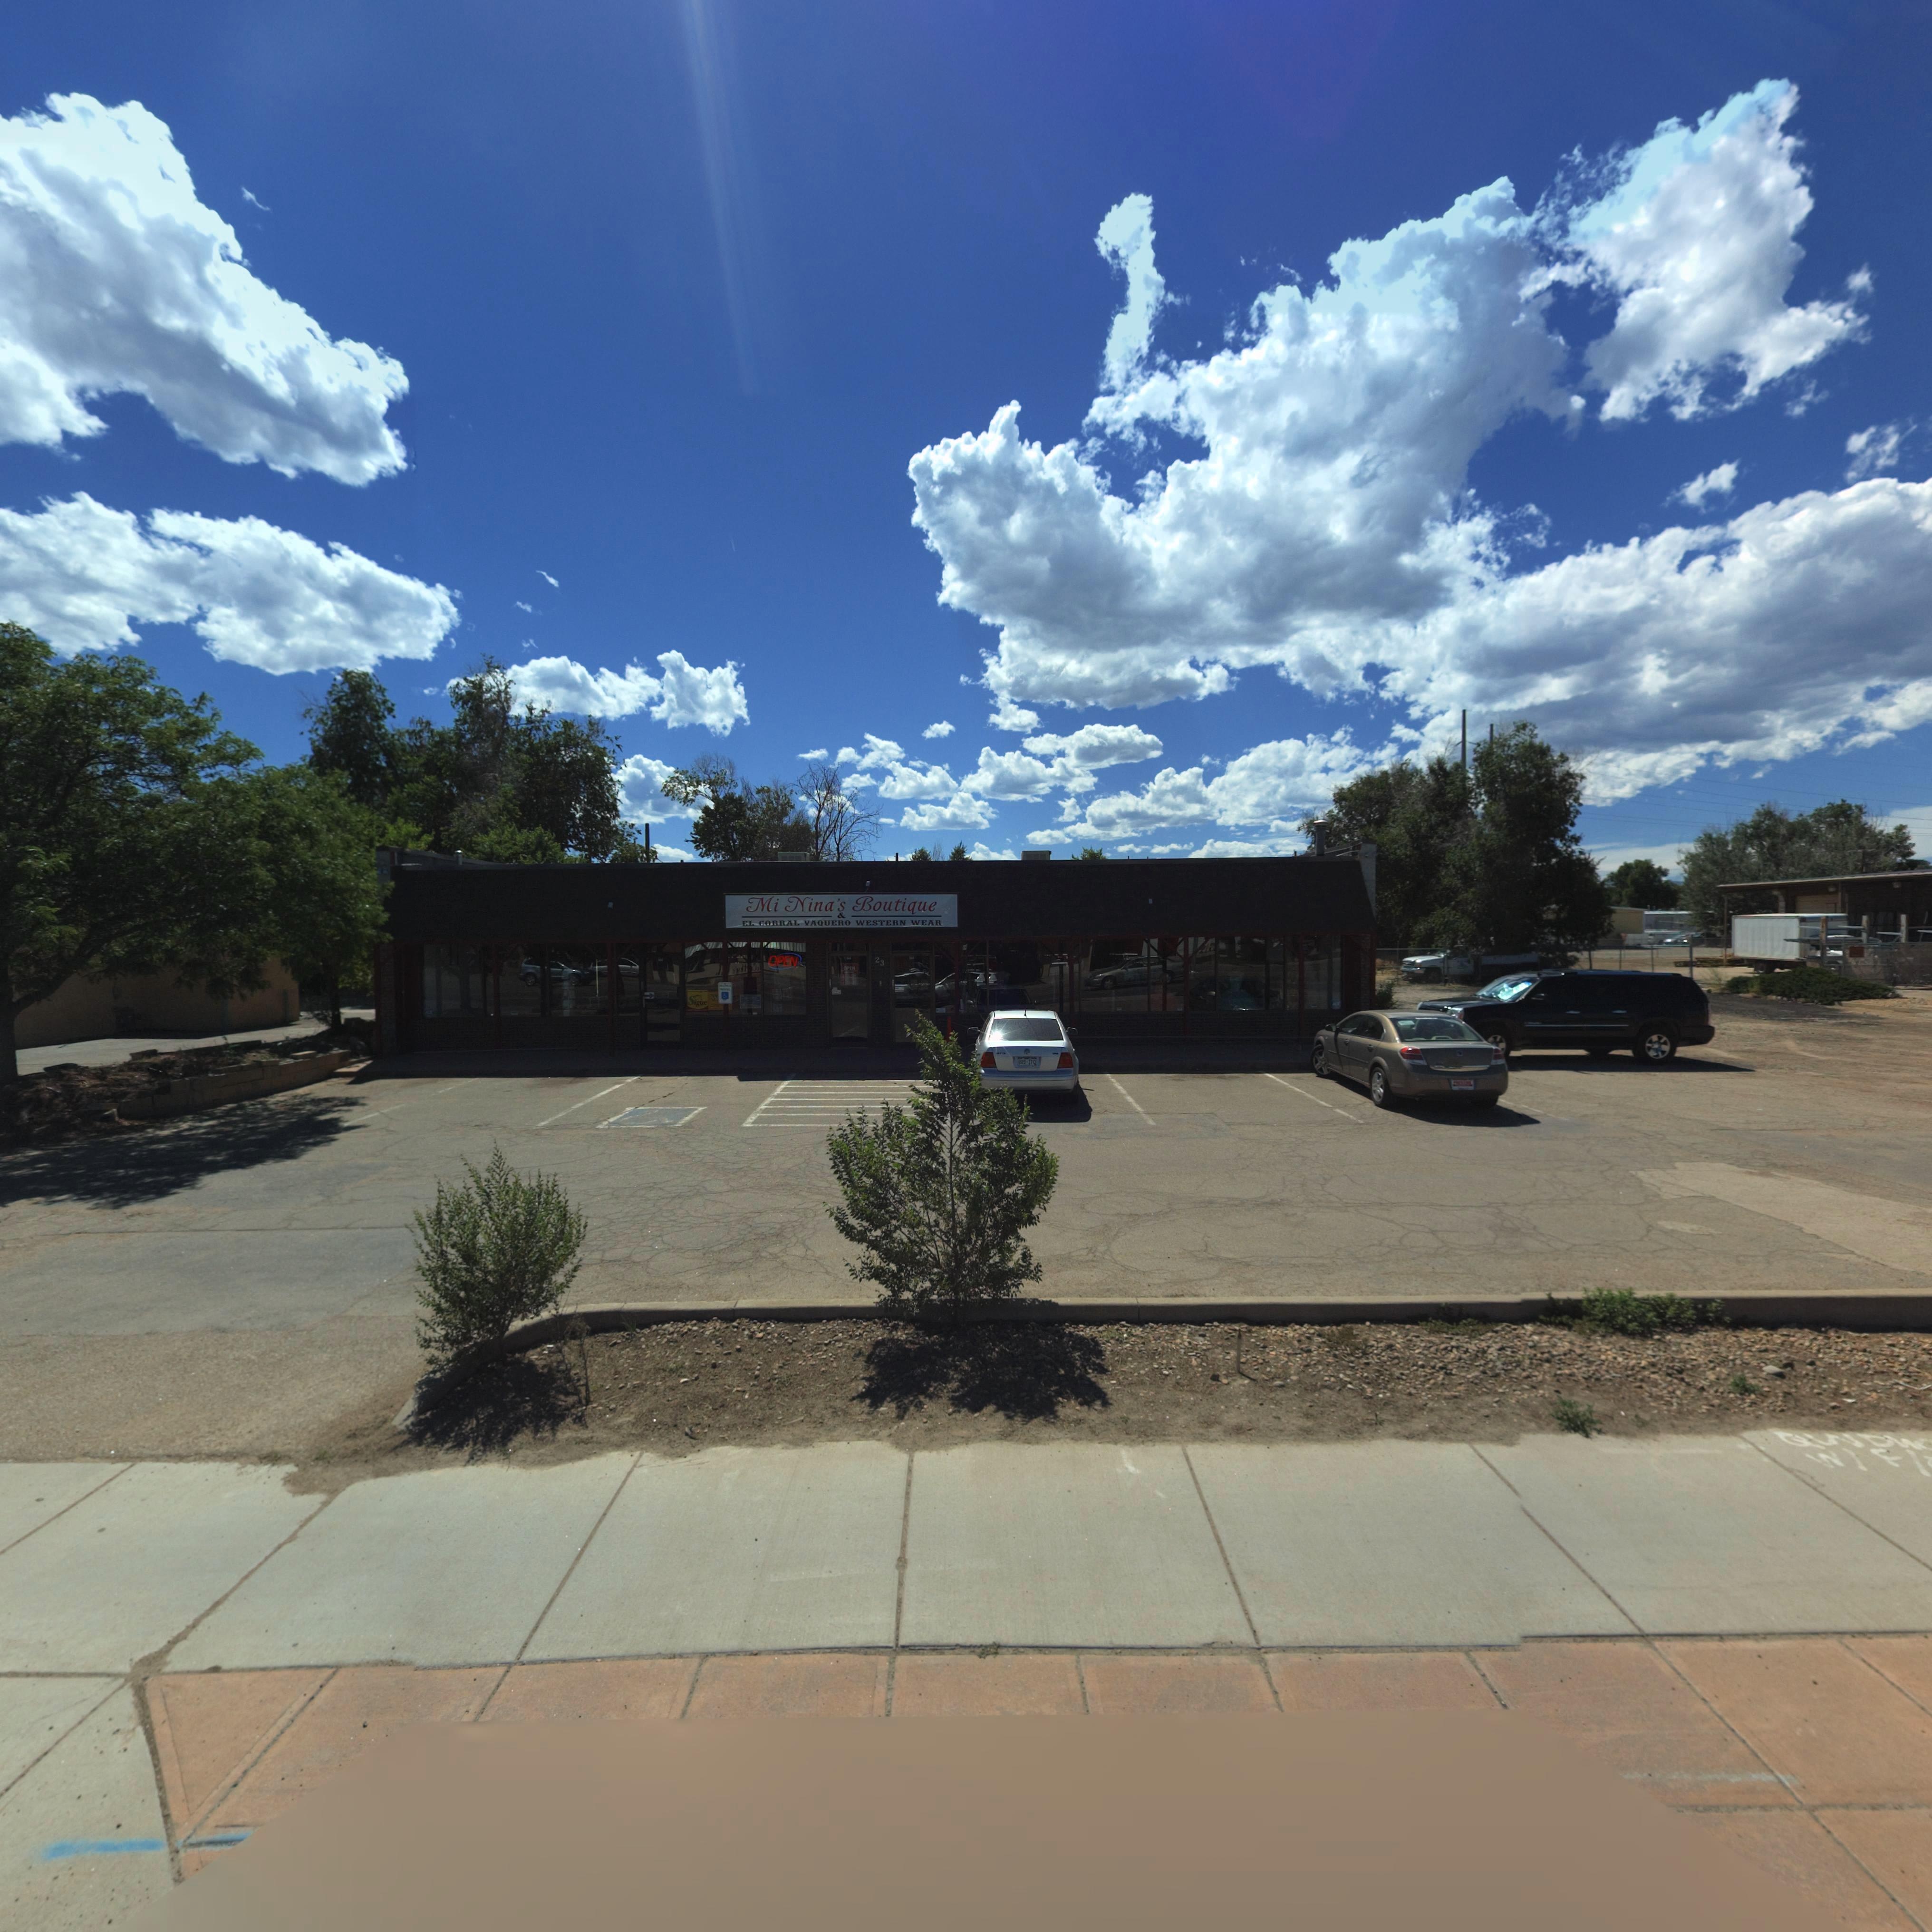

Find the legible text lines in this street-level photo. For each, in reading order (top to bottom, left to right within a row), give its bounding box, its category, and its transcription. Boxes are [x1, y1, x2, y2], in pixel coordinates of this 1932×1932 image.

[745, 895, 938, 915] BusinessName: Mi Nina's Boutique
[741, 918, 943, 927] BusinessName: EL CORRAL VAQUERO WESTERN WEAR
[875, 956, 884, 966] StreetNumber: 23